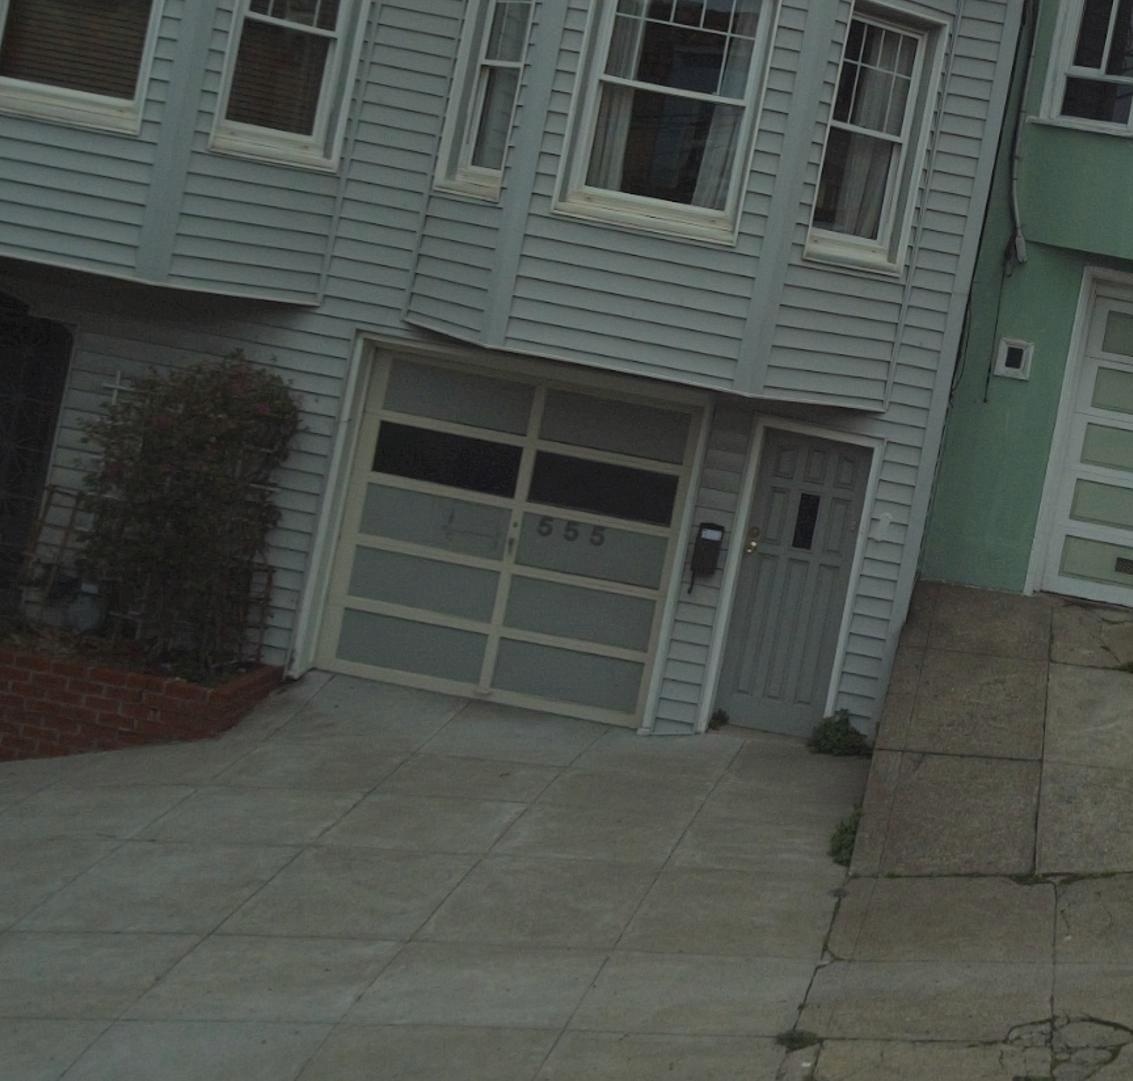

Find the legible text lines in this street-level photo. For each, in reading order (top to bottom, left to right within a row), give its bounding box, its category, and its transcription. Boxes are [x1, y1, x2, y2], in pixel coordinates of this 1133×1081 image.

[534, 514, 609, 549] StreetNumber: 555